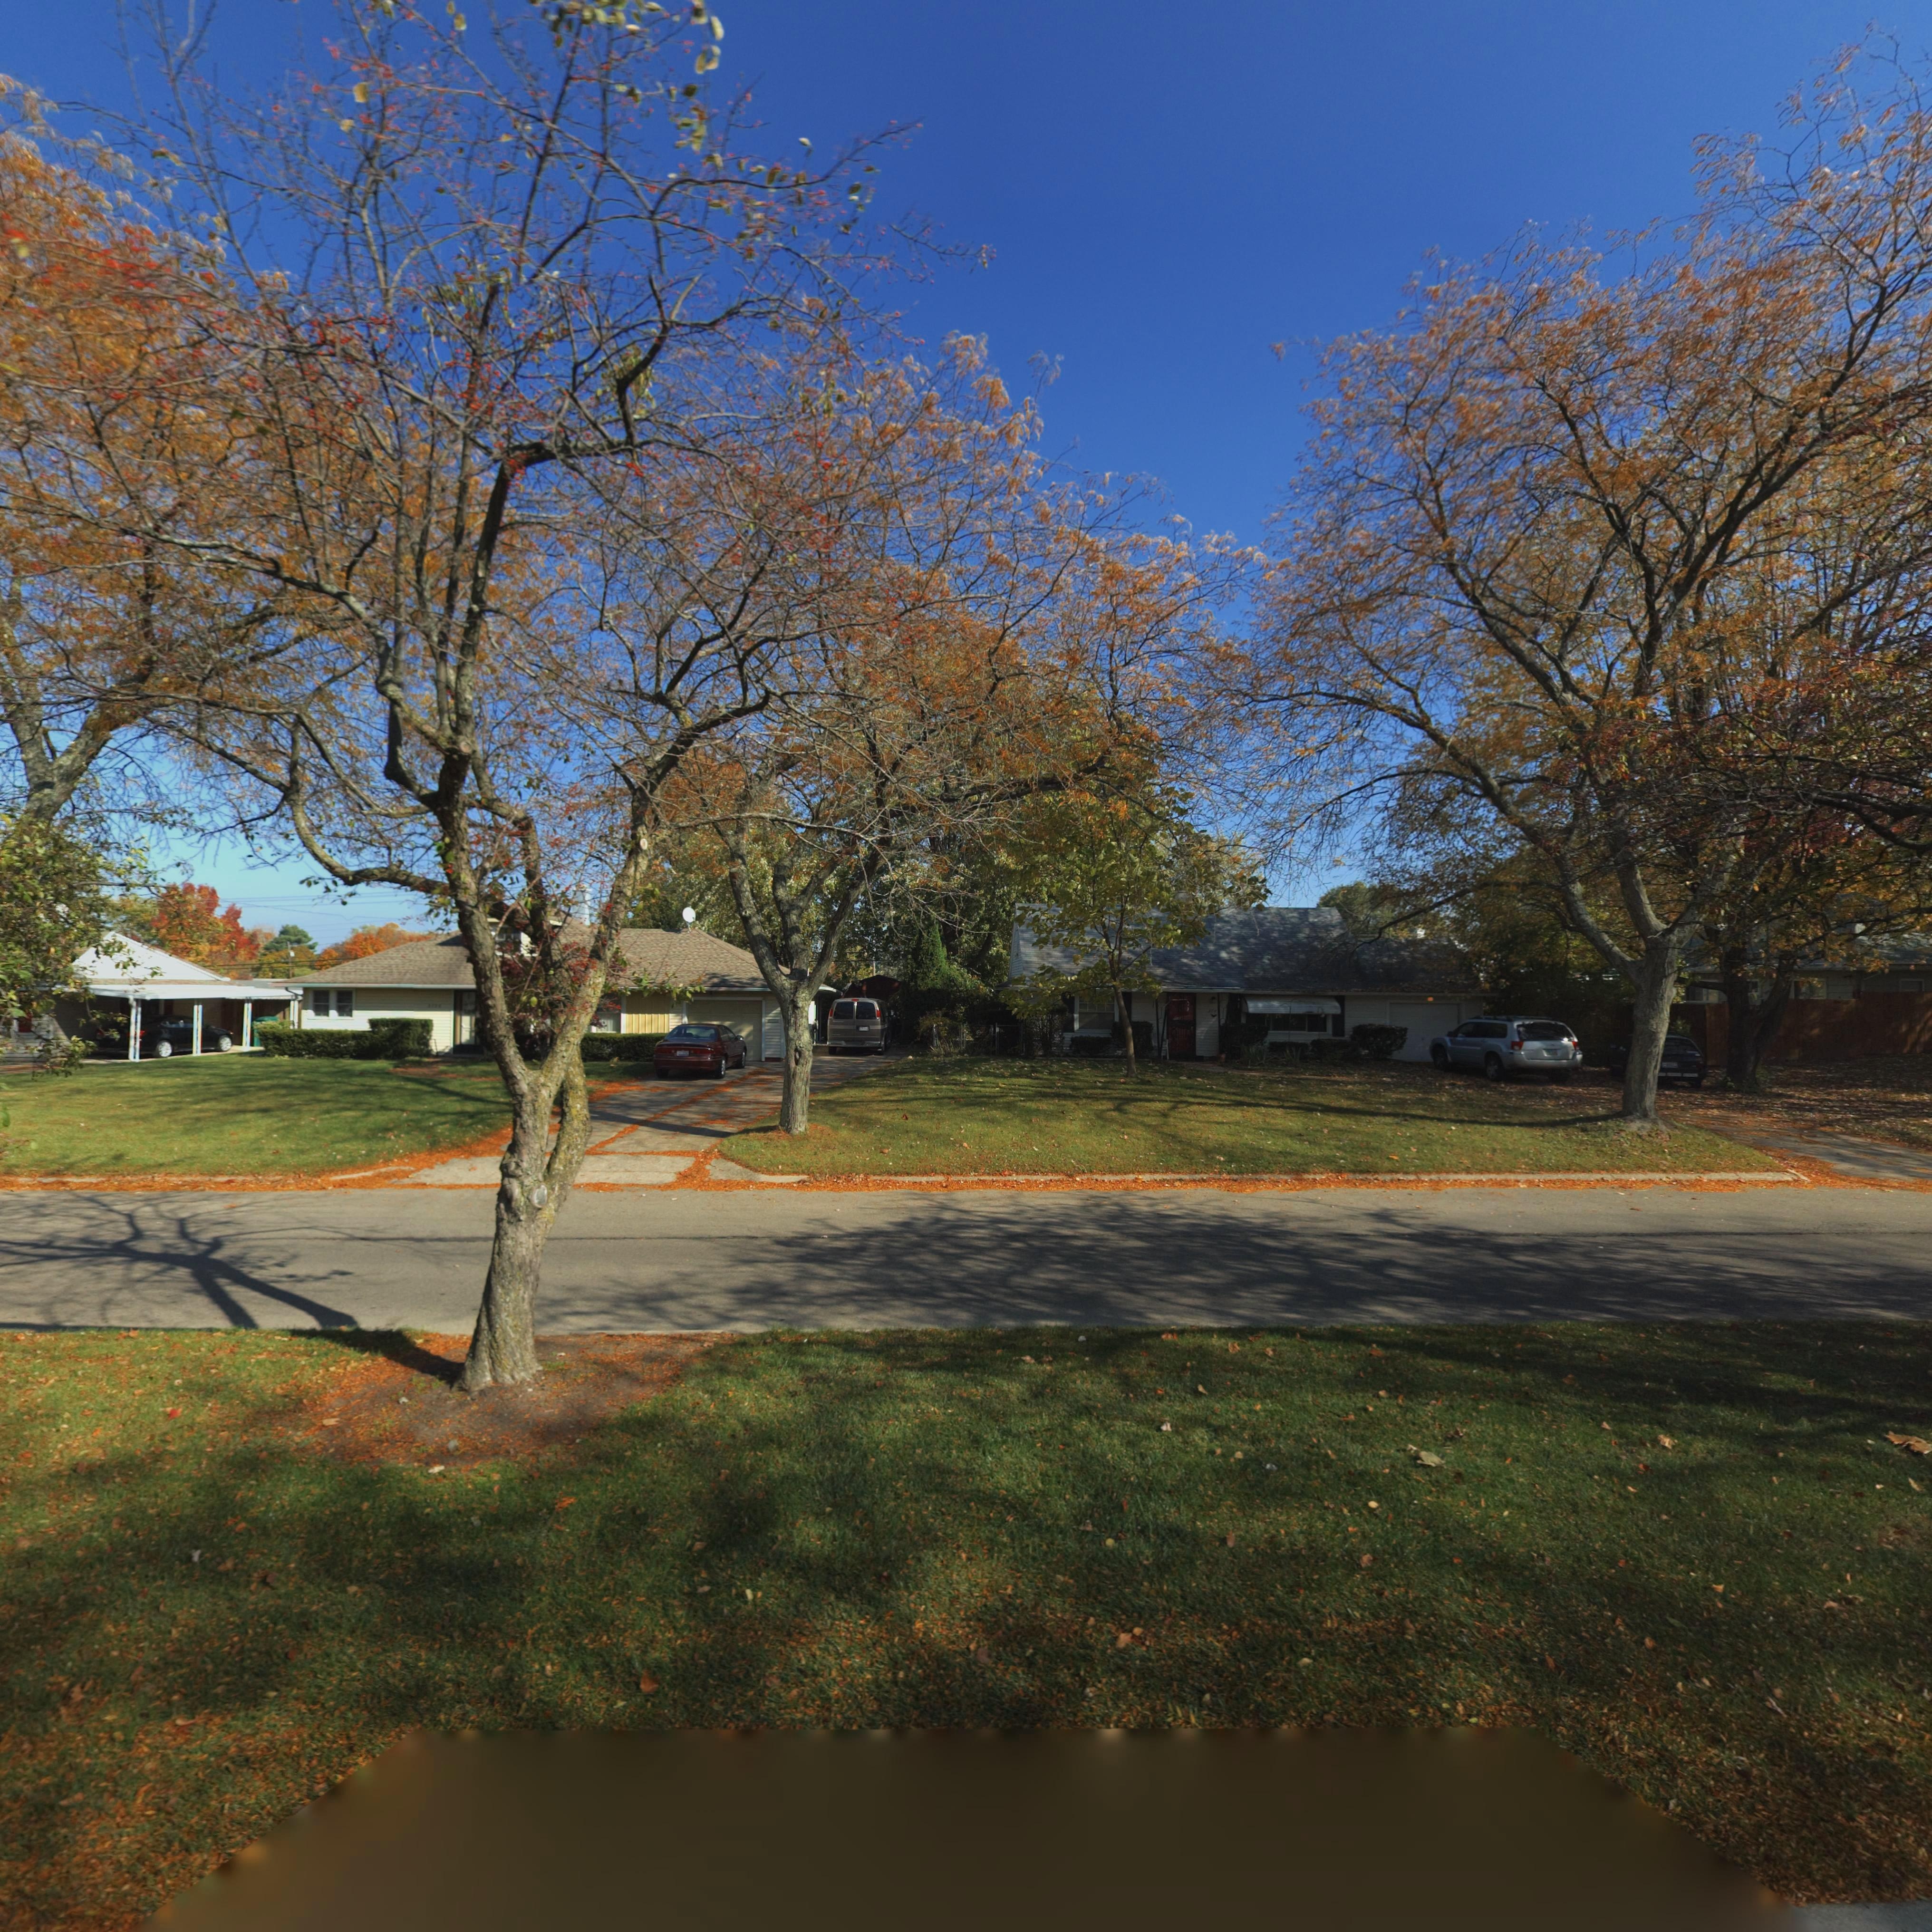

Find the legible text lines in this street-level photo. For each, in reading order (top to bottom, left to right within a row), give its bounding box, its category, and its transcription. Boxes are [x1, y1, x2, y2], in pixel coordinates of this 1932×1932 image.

[427, 1003, 442, 1009] StreetNumber: 3738
[1207, 1009, 1218, 1013] StreetNumber: 37*